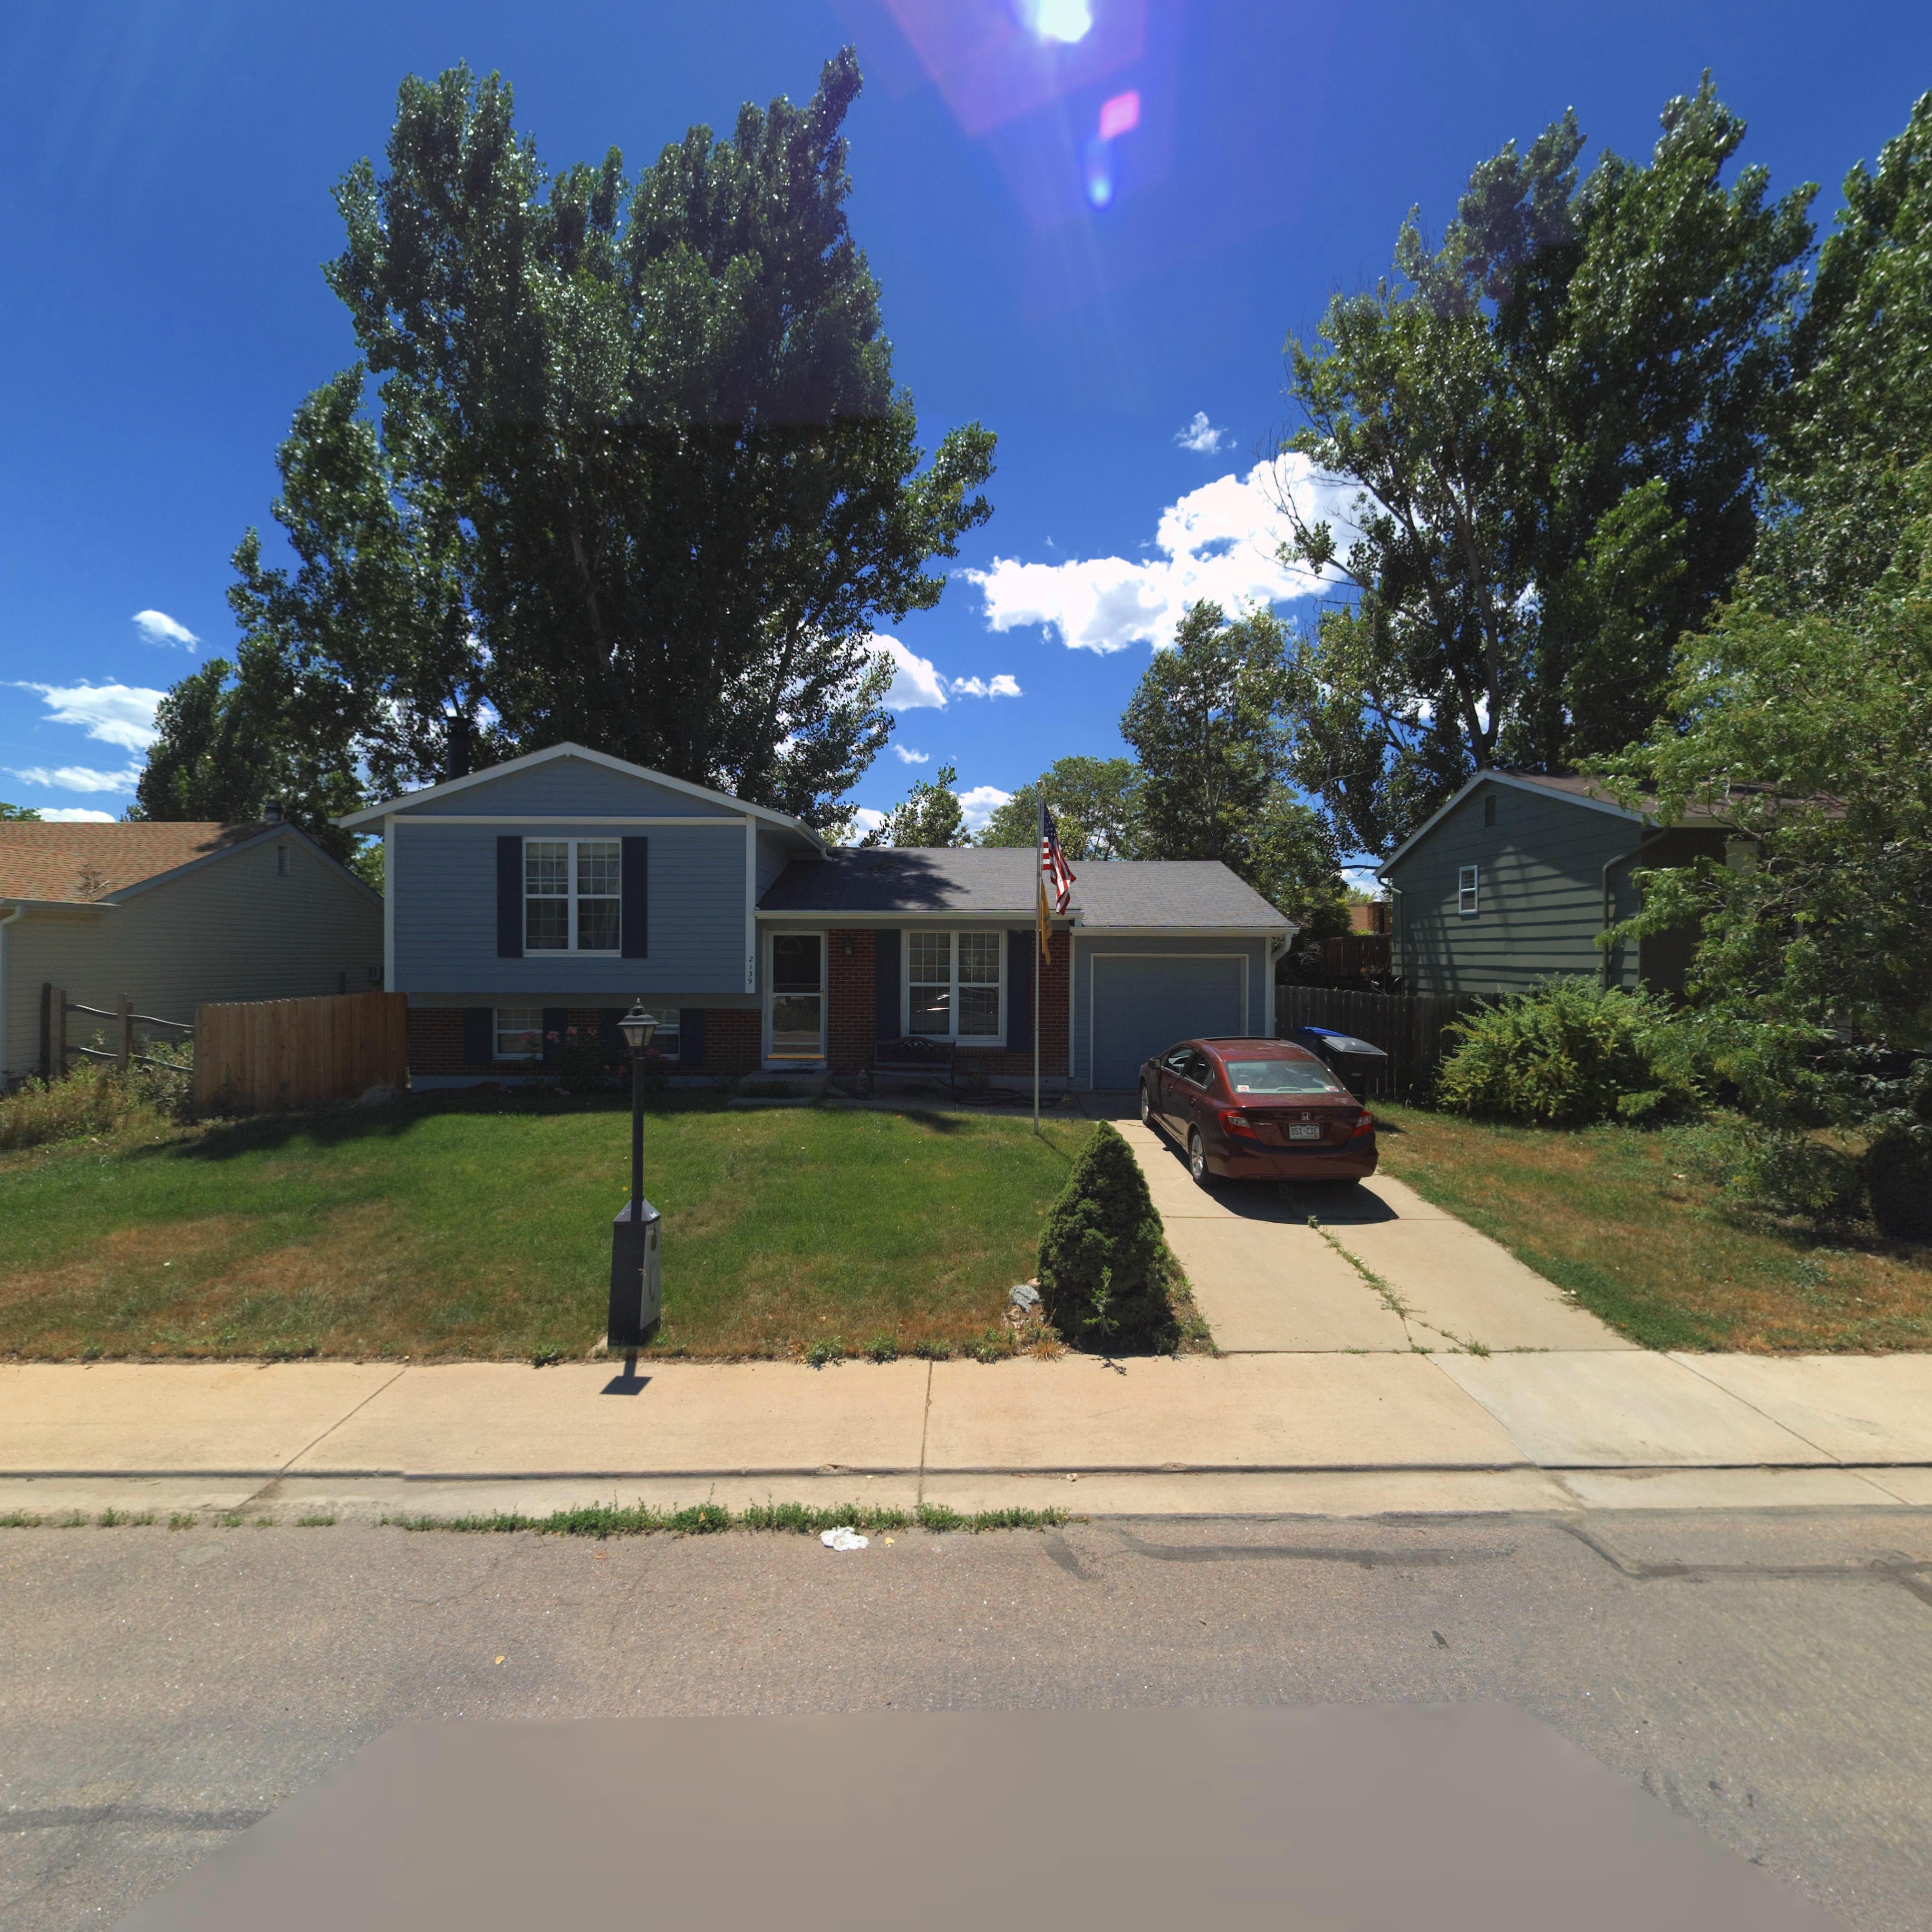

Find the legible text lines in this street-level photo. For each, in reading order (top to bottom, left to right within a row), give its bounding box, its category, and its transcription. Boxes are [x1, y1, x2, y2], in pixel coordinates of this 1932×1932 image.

[748, 955, 753, 985] StreetNumber: 2139